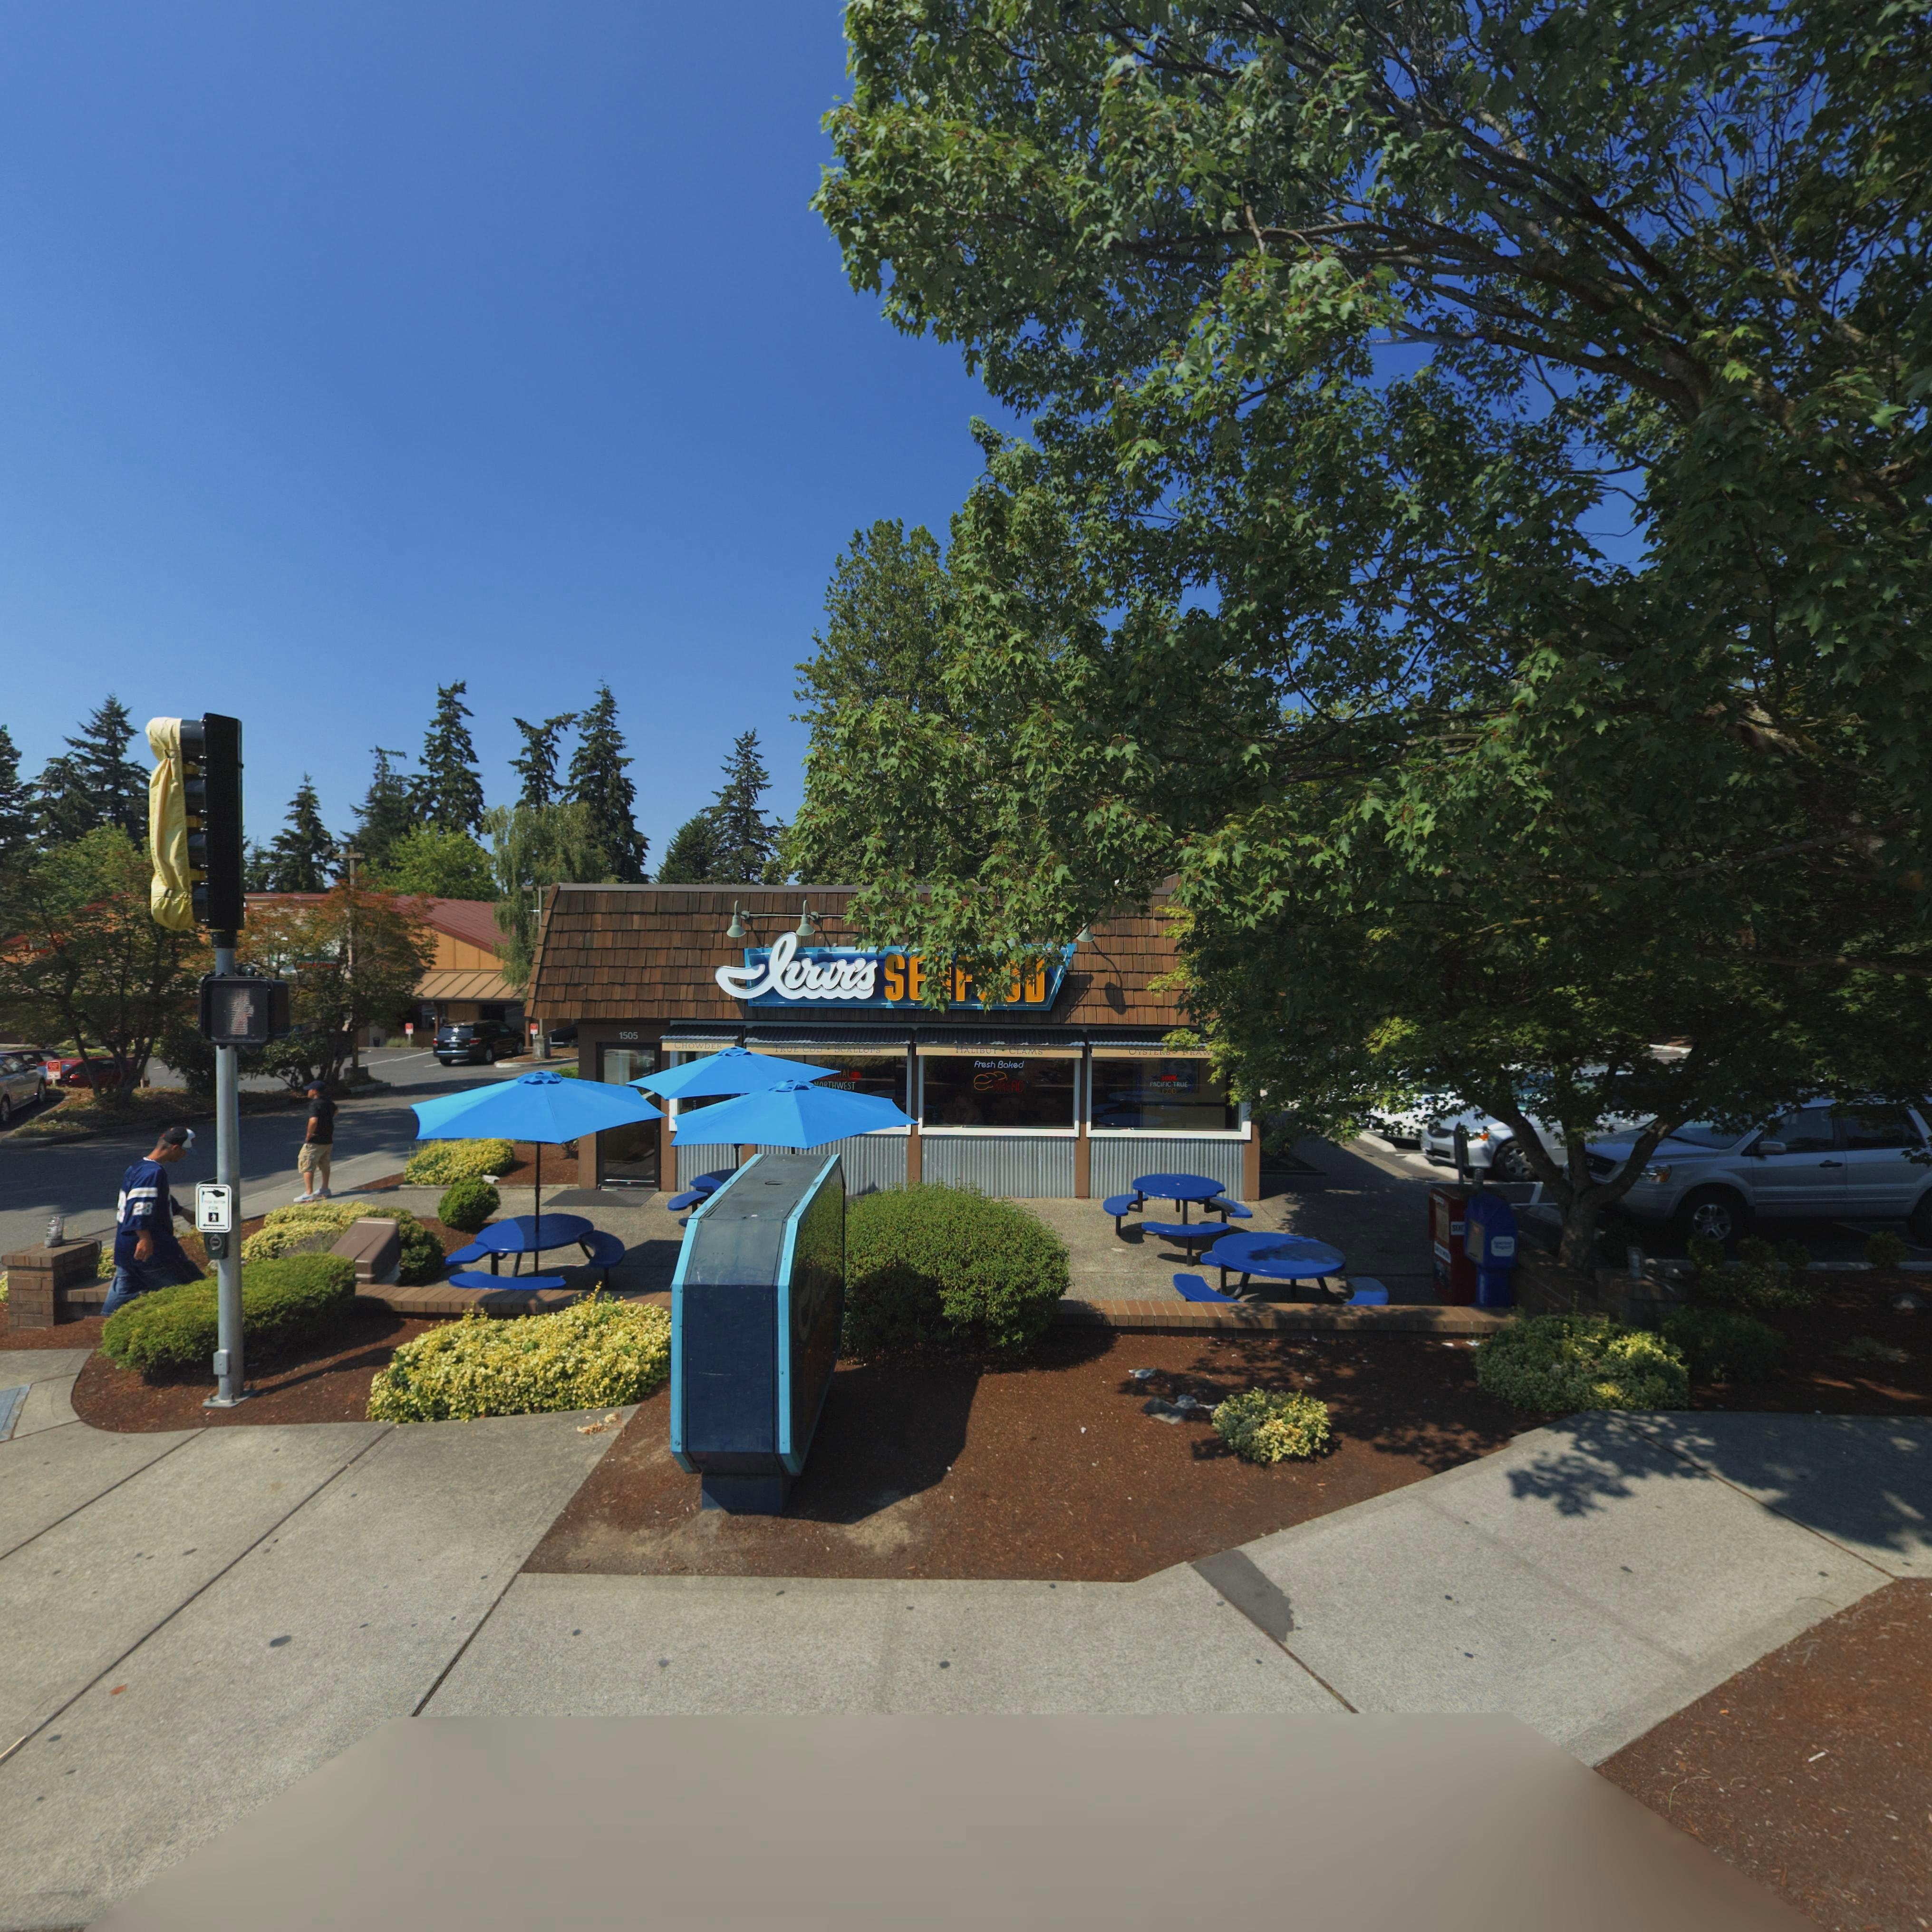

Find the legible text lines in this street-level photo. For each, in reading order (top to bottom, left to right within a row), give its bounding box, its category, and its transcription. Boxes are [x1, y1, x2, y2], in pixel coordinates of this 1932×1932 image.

[708, 927, 881, 1005] BusinessName: IVAR'S
[618, 1031, 639, 1040] StreetNumber: 1505
[674, 1040, 722, 1049] None: CHOWDER
[772, 1043, 881, 1054] None: TRUE COD * SCALLOPS
[955, 1043, 1043, 1055] None: HALIBUT * CLAMS
[973, 1059, 1024, 1069] None: Fresh Baked
[1149, 1080, 1189, 1088] None: PACIFIC TRUE
[1161, 1088, 1179, 1094] None: COD
[132, 1200, 155, 1216] None: 28